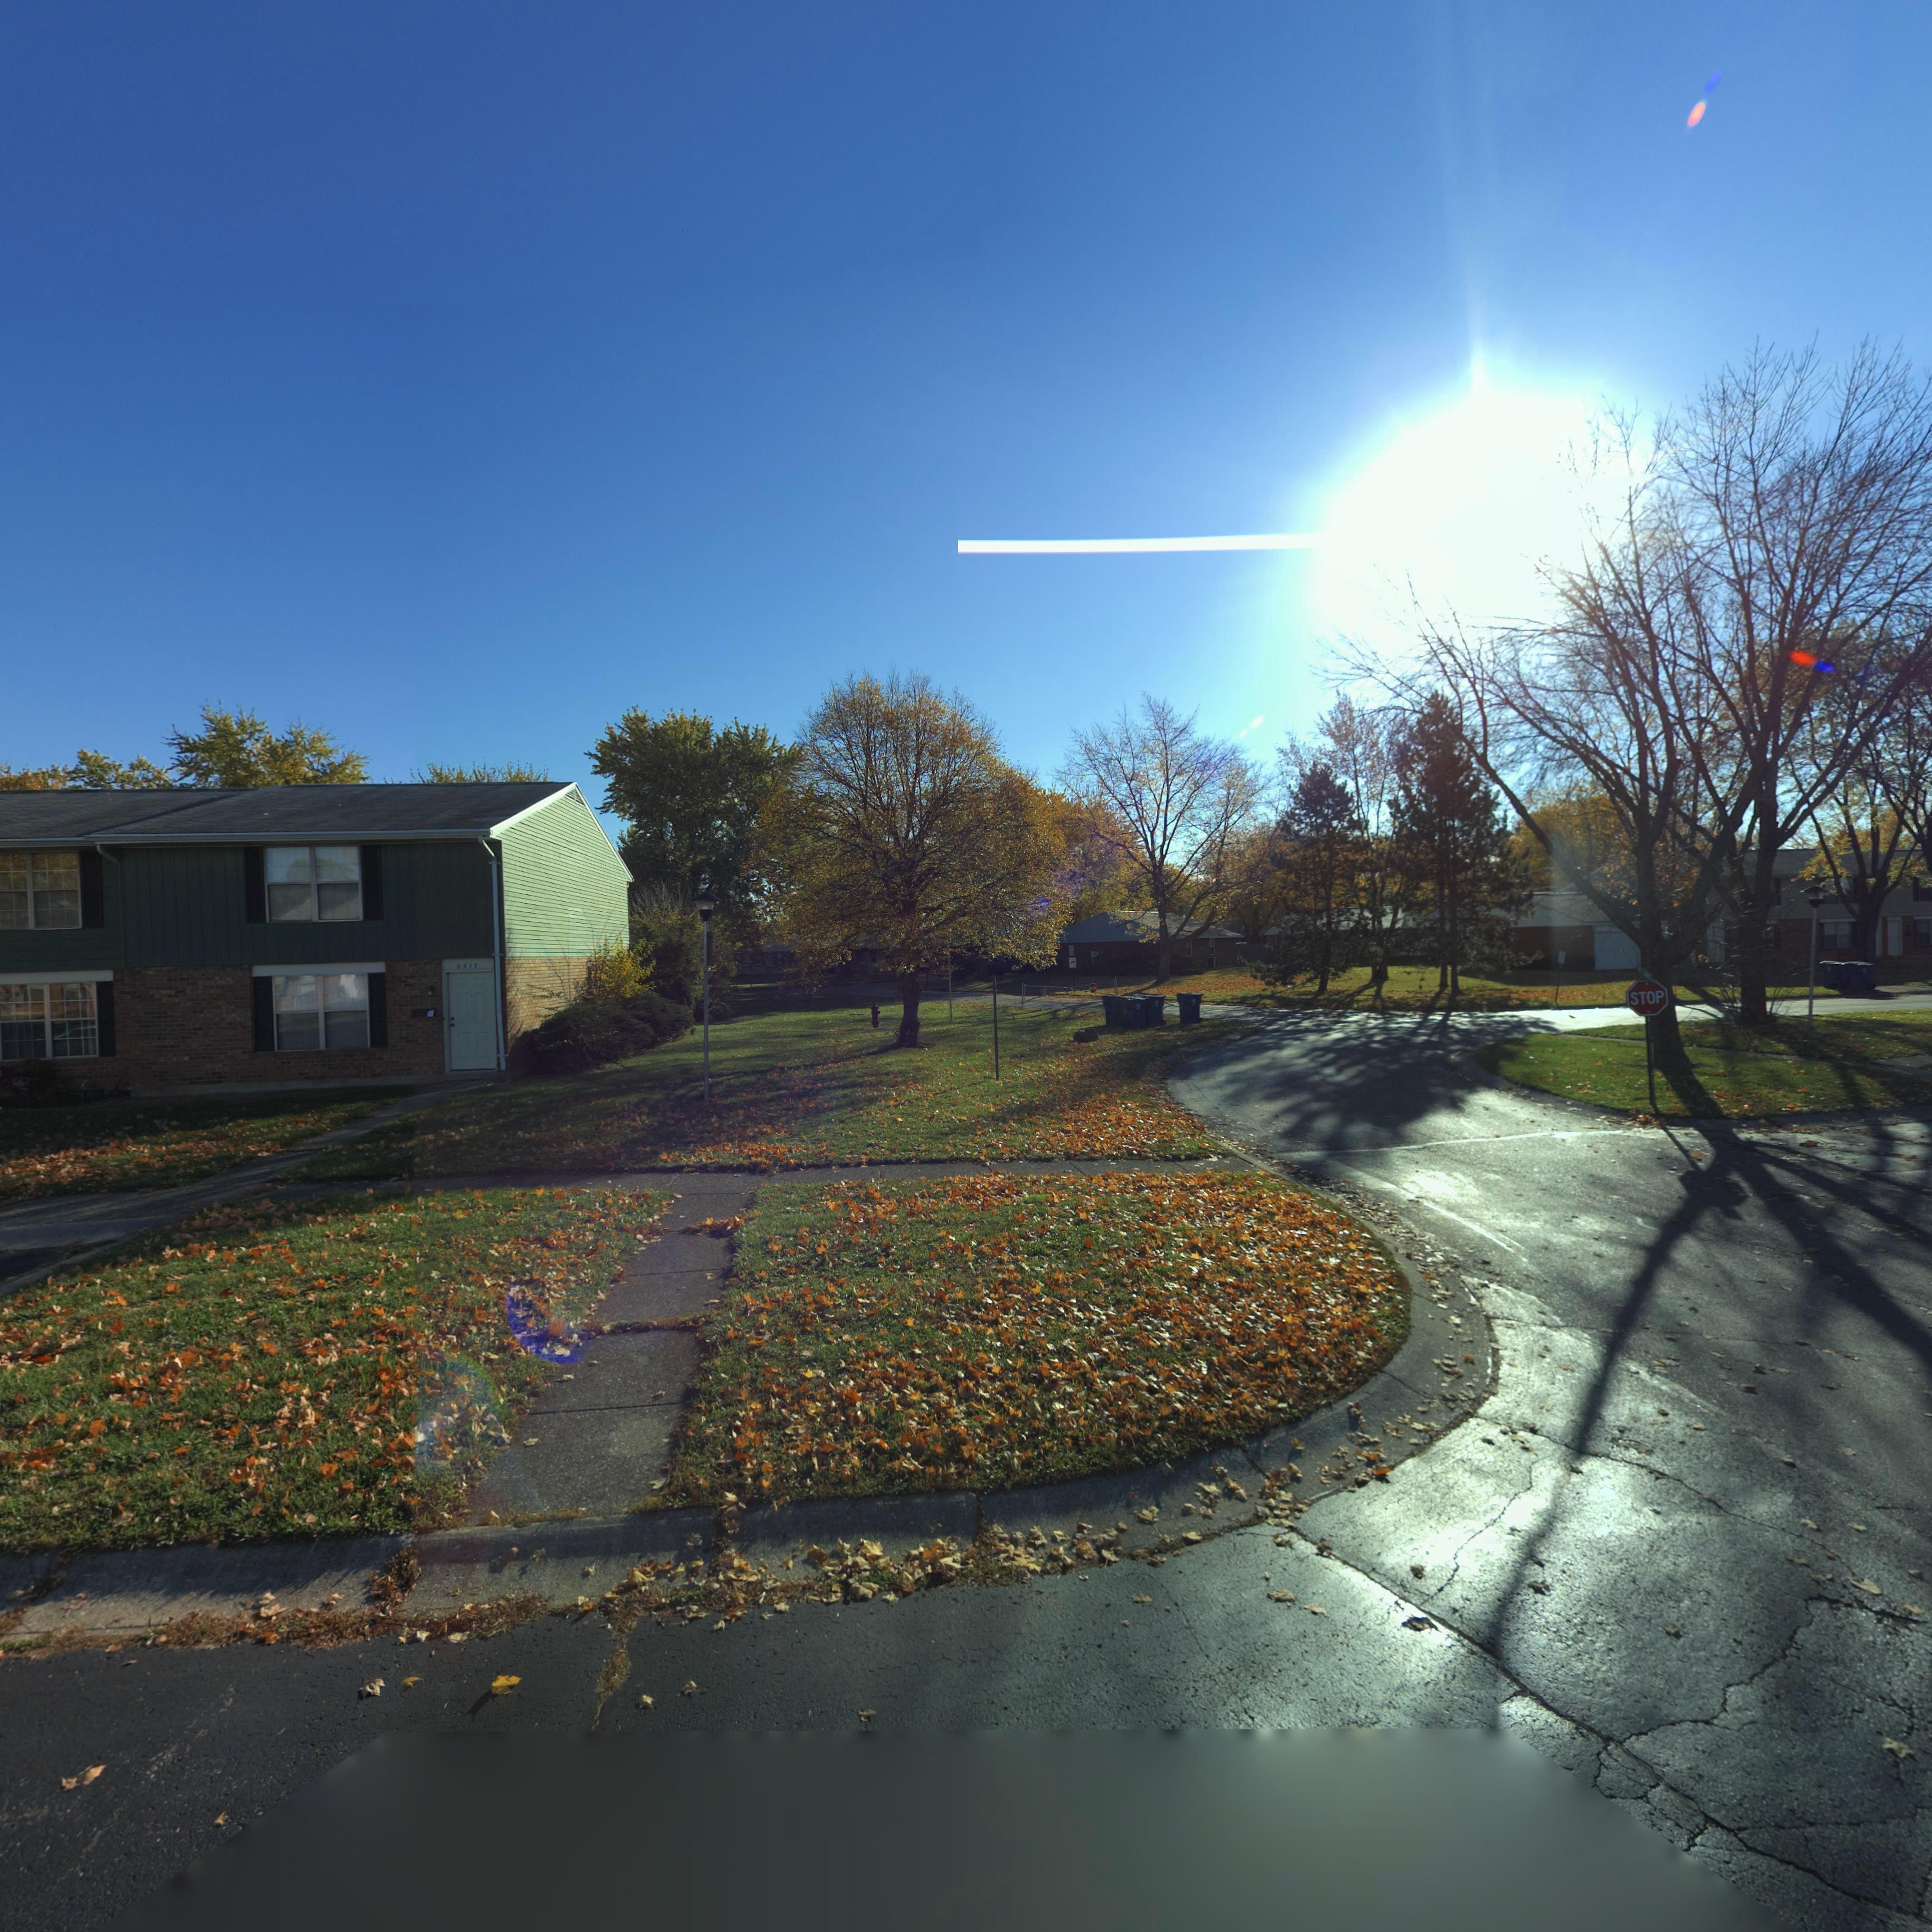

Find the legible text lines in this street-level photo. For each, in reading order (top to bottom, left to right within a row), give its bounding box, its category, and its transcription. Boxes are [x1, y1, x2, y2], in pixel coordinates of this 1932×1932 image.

[456, 962, 478, 970] StreetNumber: 8317